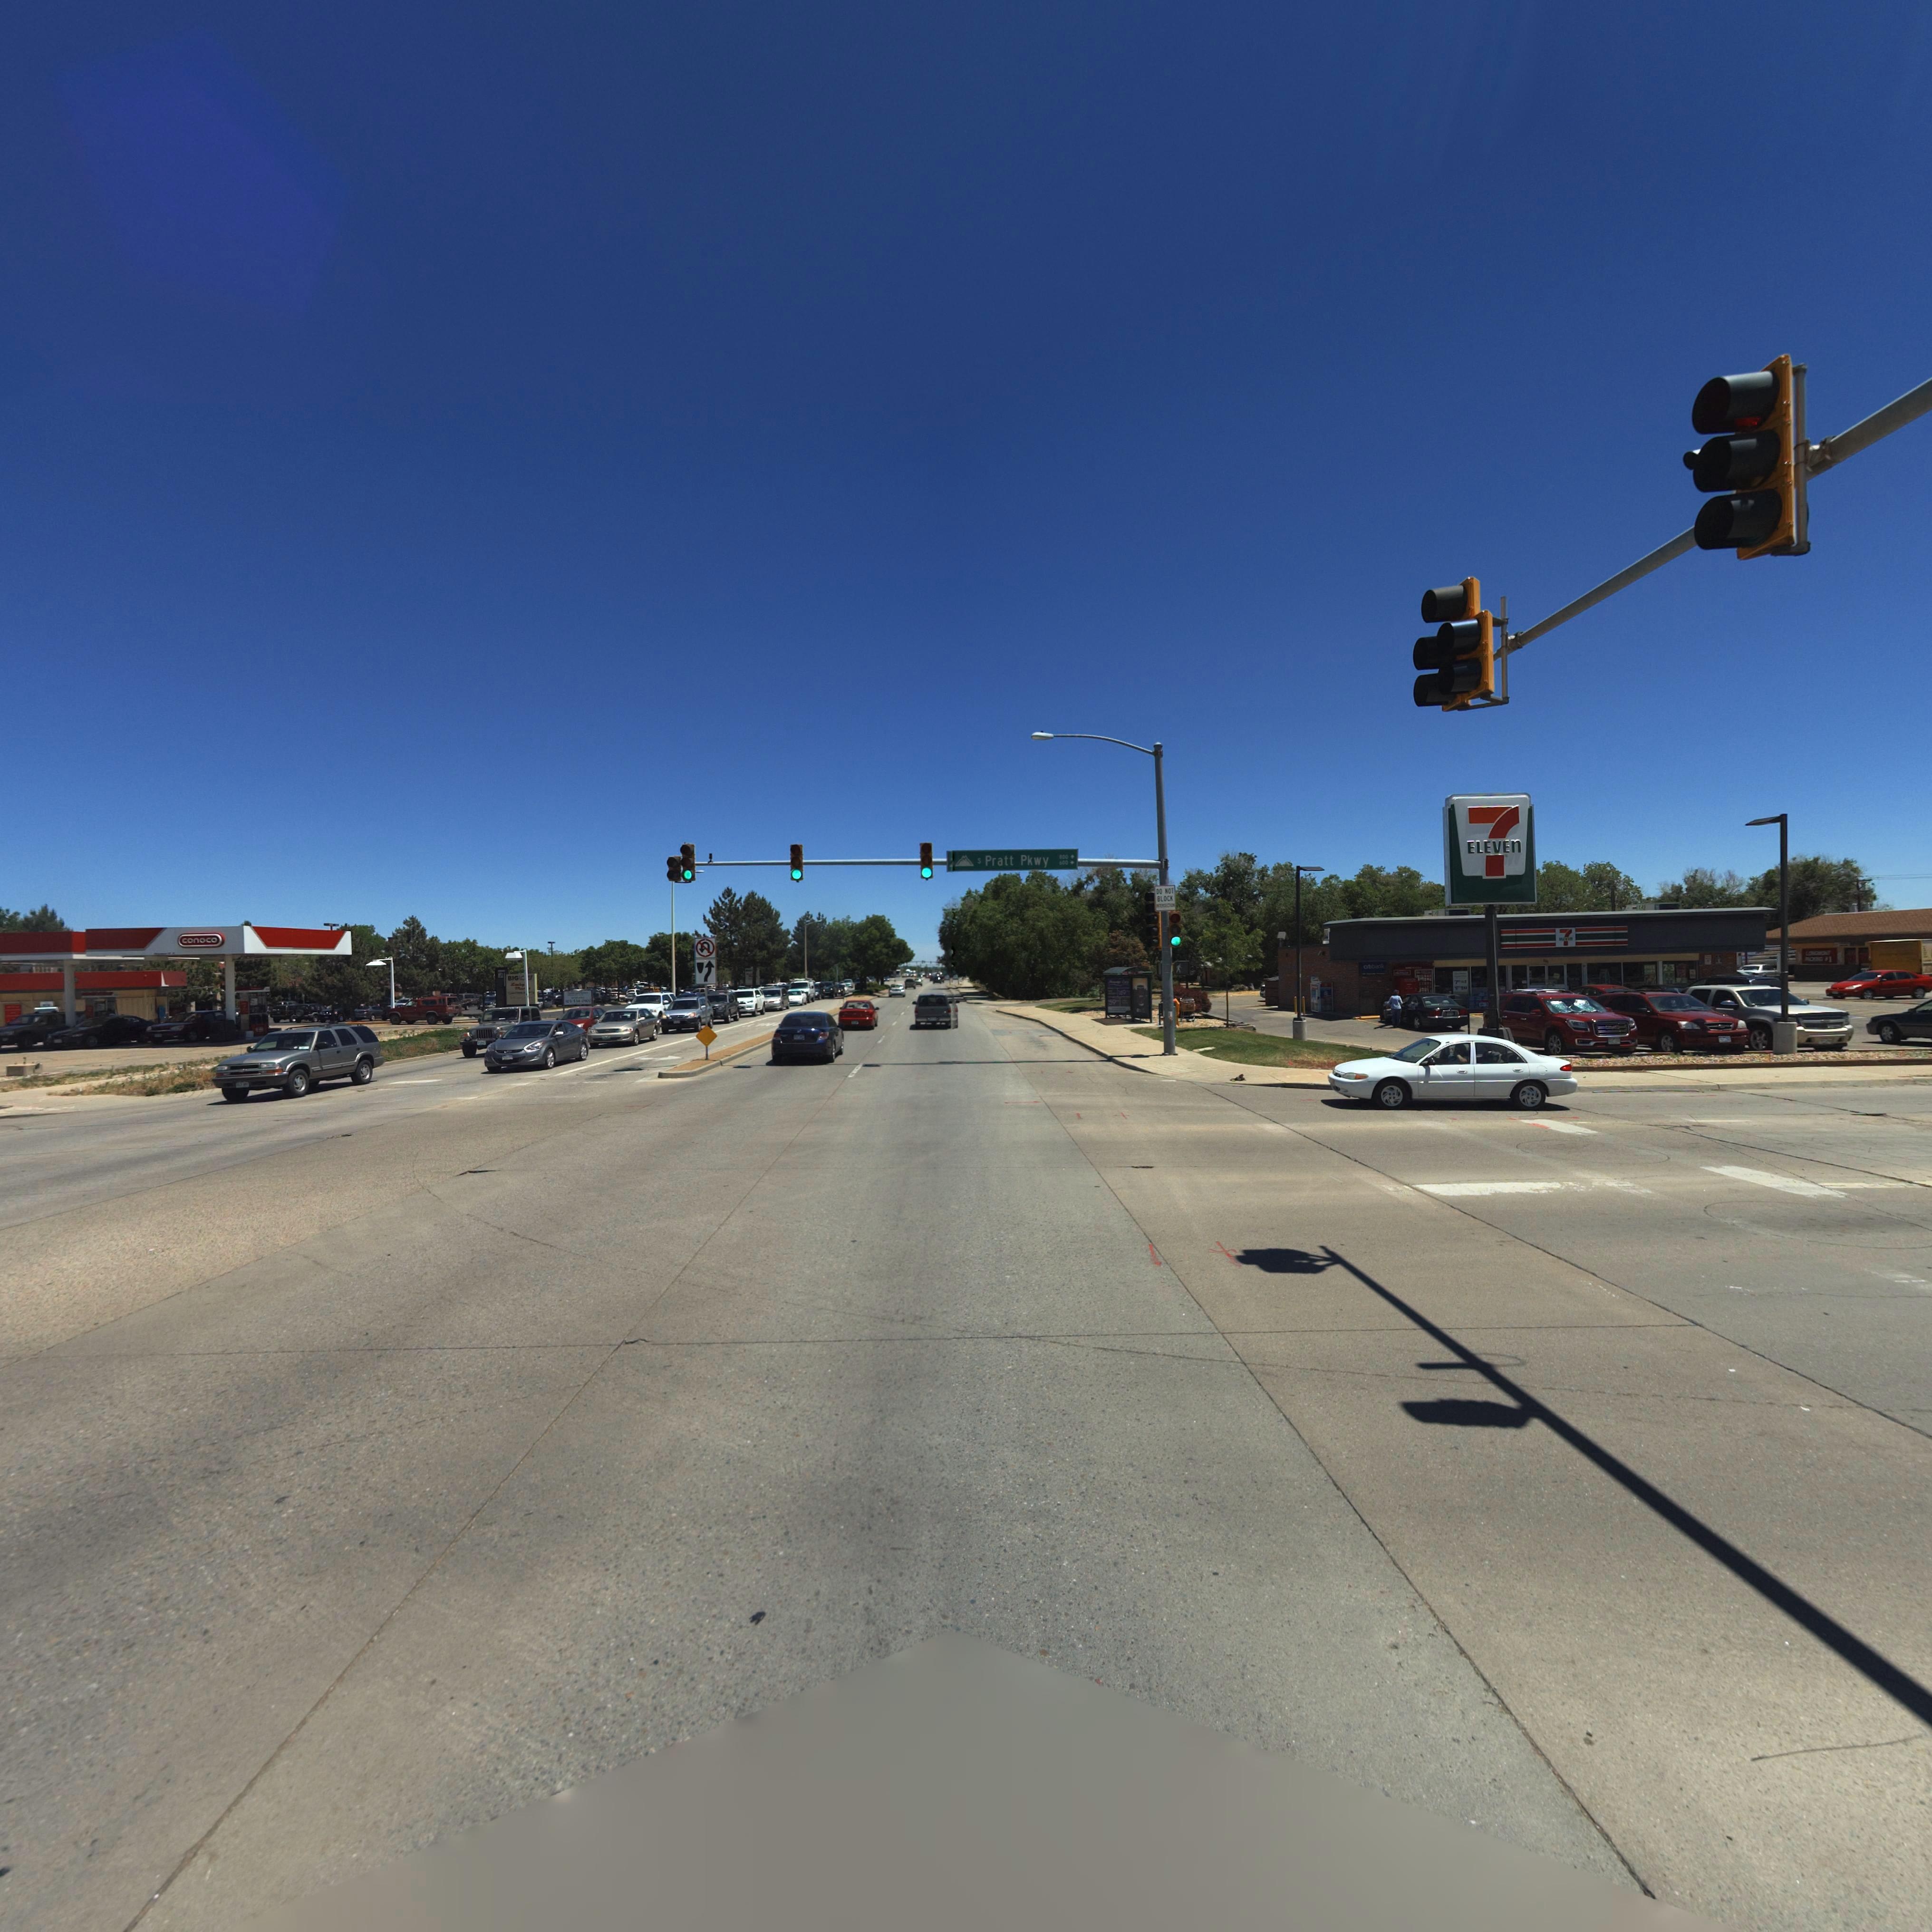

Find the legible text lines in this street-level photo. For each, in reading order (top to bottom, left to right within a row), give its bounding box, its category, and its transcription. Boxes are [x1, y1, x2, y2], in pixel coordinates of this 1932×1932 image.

[1466, 804, 1521, 879] BusinessName: 7
[1465, 839, 1522, 854] BusinessName: ELEVEN
[976, 854, 1050, 869] StreetName: S Pratt Pkwy
[1059, 854, 1069, 860] StreetNumberRange: 800
[1059, 860, 1075, 866] StreetNumberRange: 600->
[182, 937, 218, 944] BusinessName: conoco
[1559, 928, 1572, 946] BusinessName: 7
[507, 974, 533, 981] BusinessName: BIG LO*S!